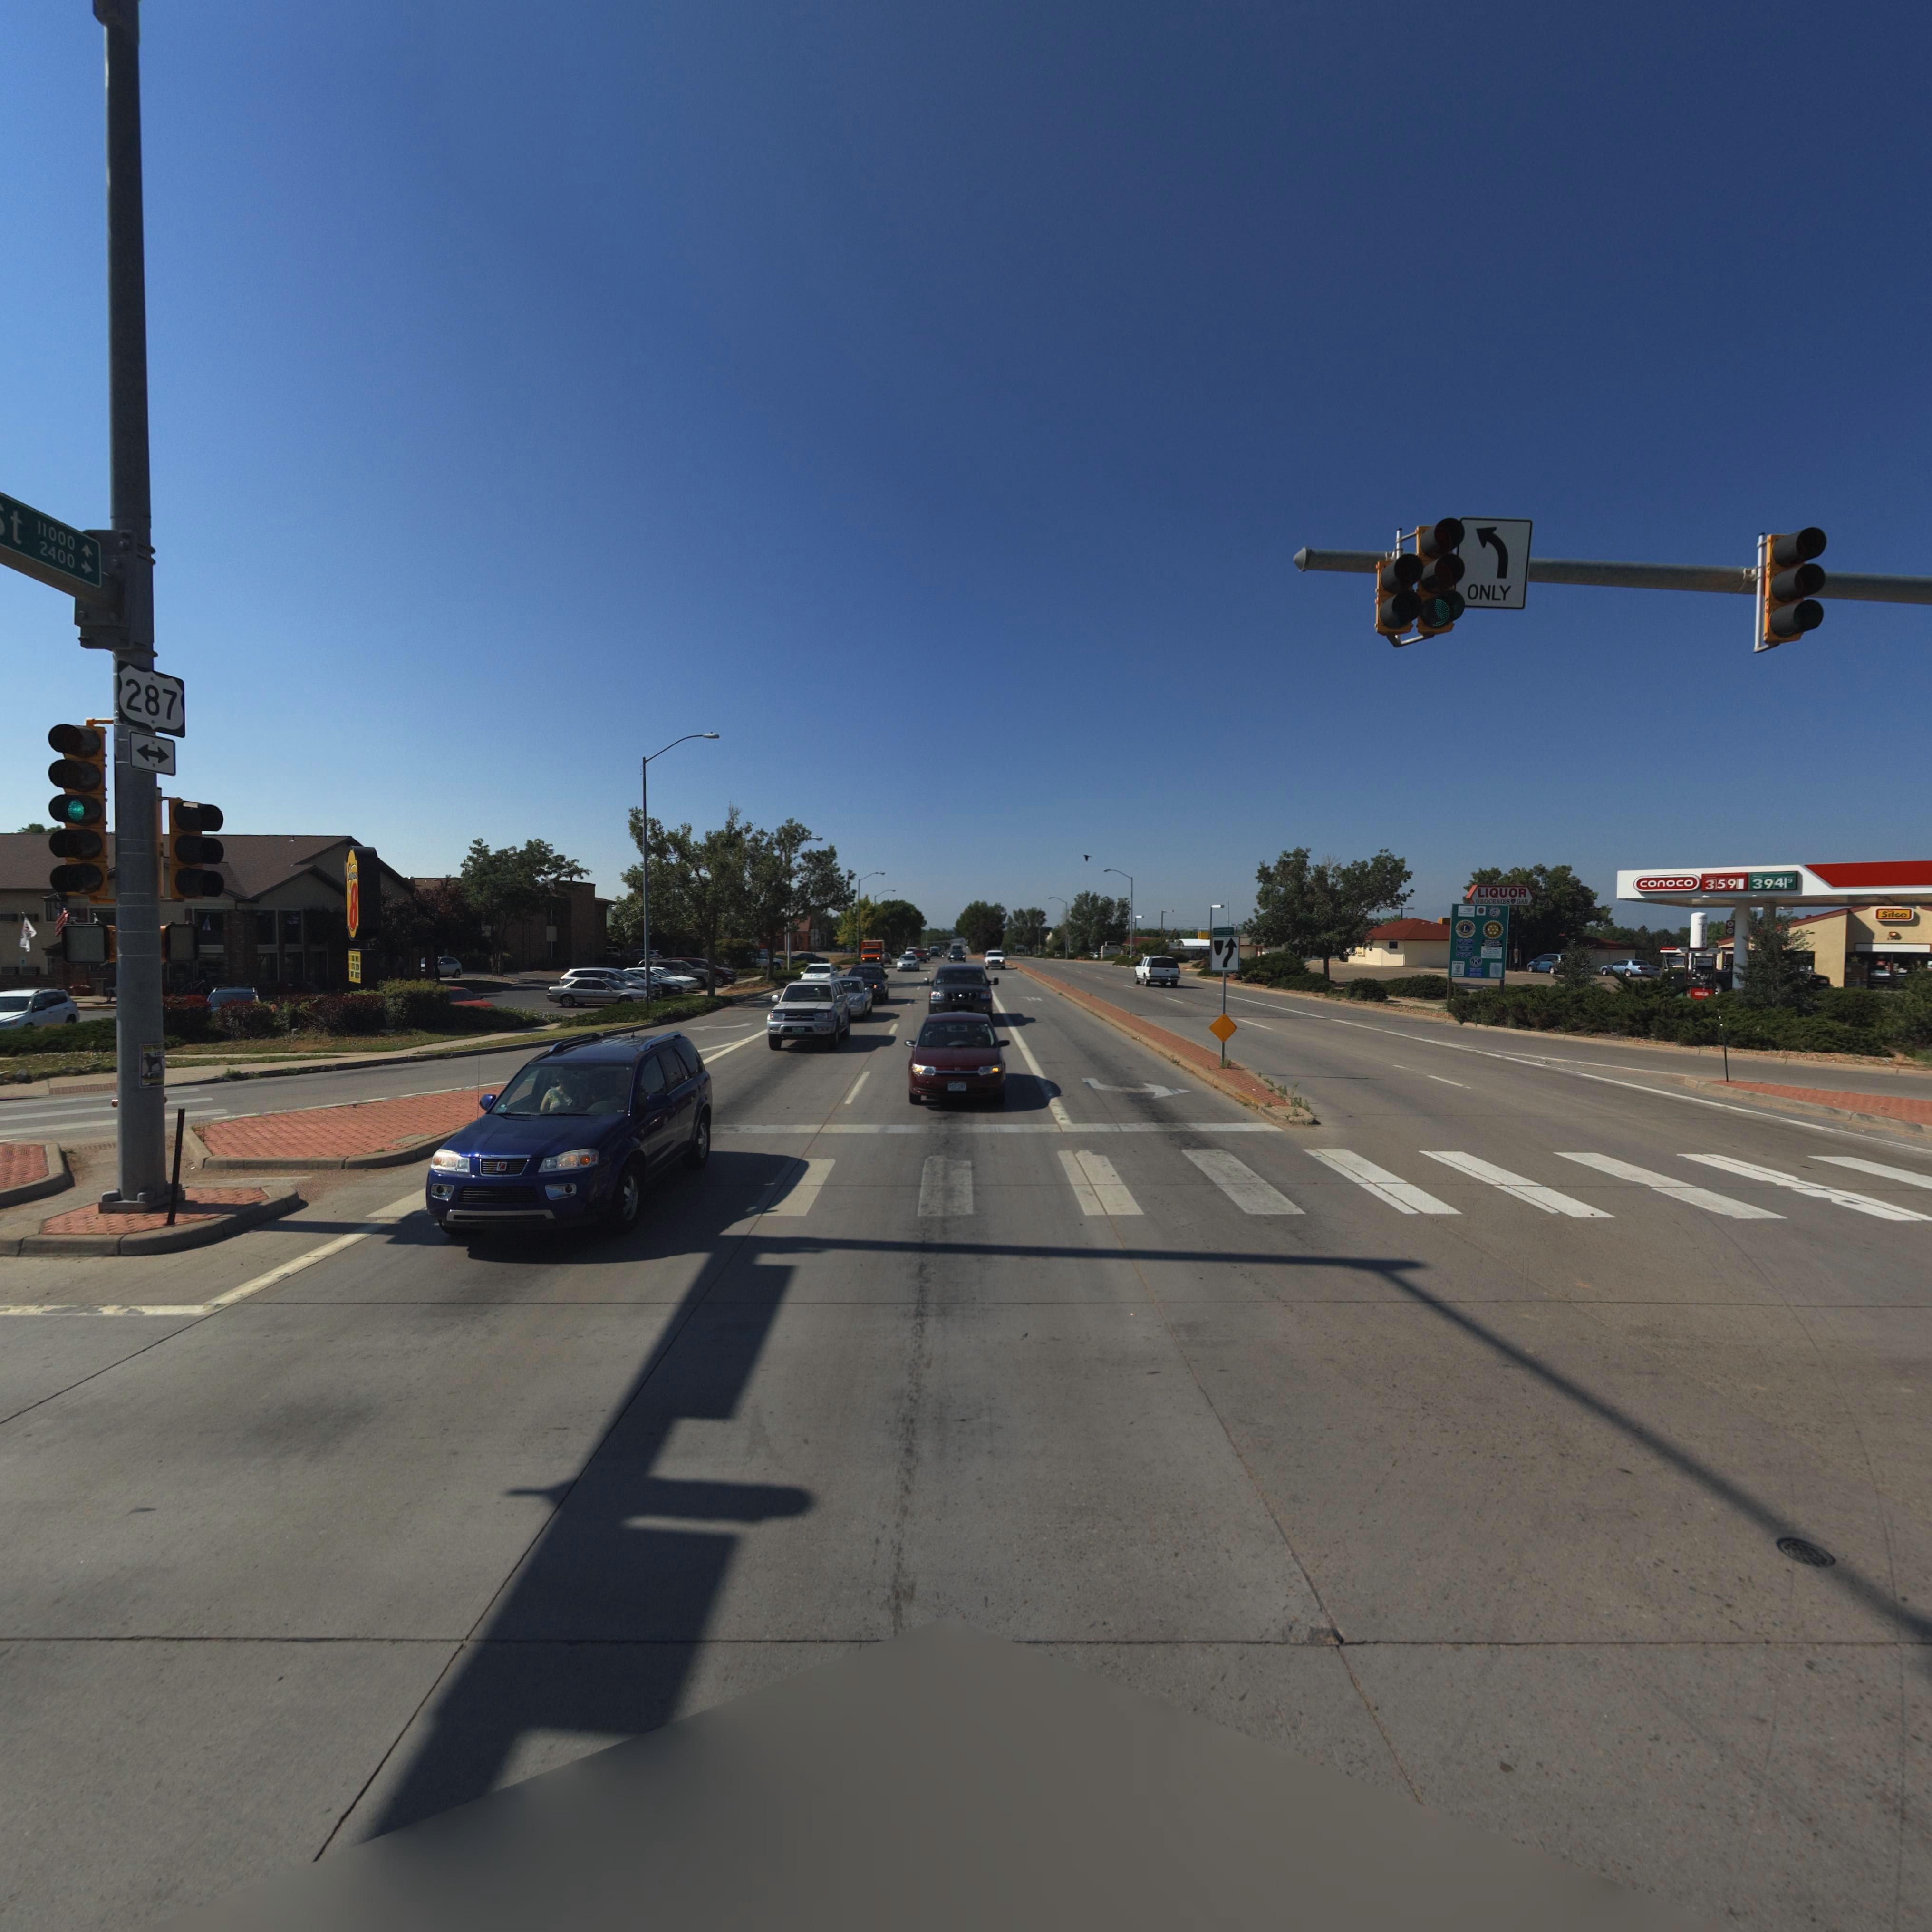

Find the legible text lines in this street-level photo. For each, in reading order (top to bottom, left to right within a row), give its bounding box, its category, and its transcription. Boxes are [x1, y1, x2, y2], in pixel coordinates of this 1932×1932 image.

[9, 505, 24, 545] BusinessName: t
[37, 520, 76, 551] StreetNumberRange: 11000
[39, 540, 94, 574] StreetNumberRange: 2400 ->
[1639, 879, 1695, 888] BusinessName: conoco
[1477, 887, 1527, 898] BusinessName: LIQUOR
[1475, 898, 1528, 904] BusinessName: GROCERIES * GAS
[1881, 910, 1908, 917] BusinessName: Silco